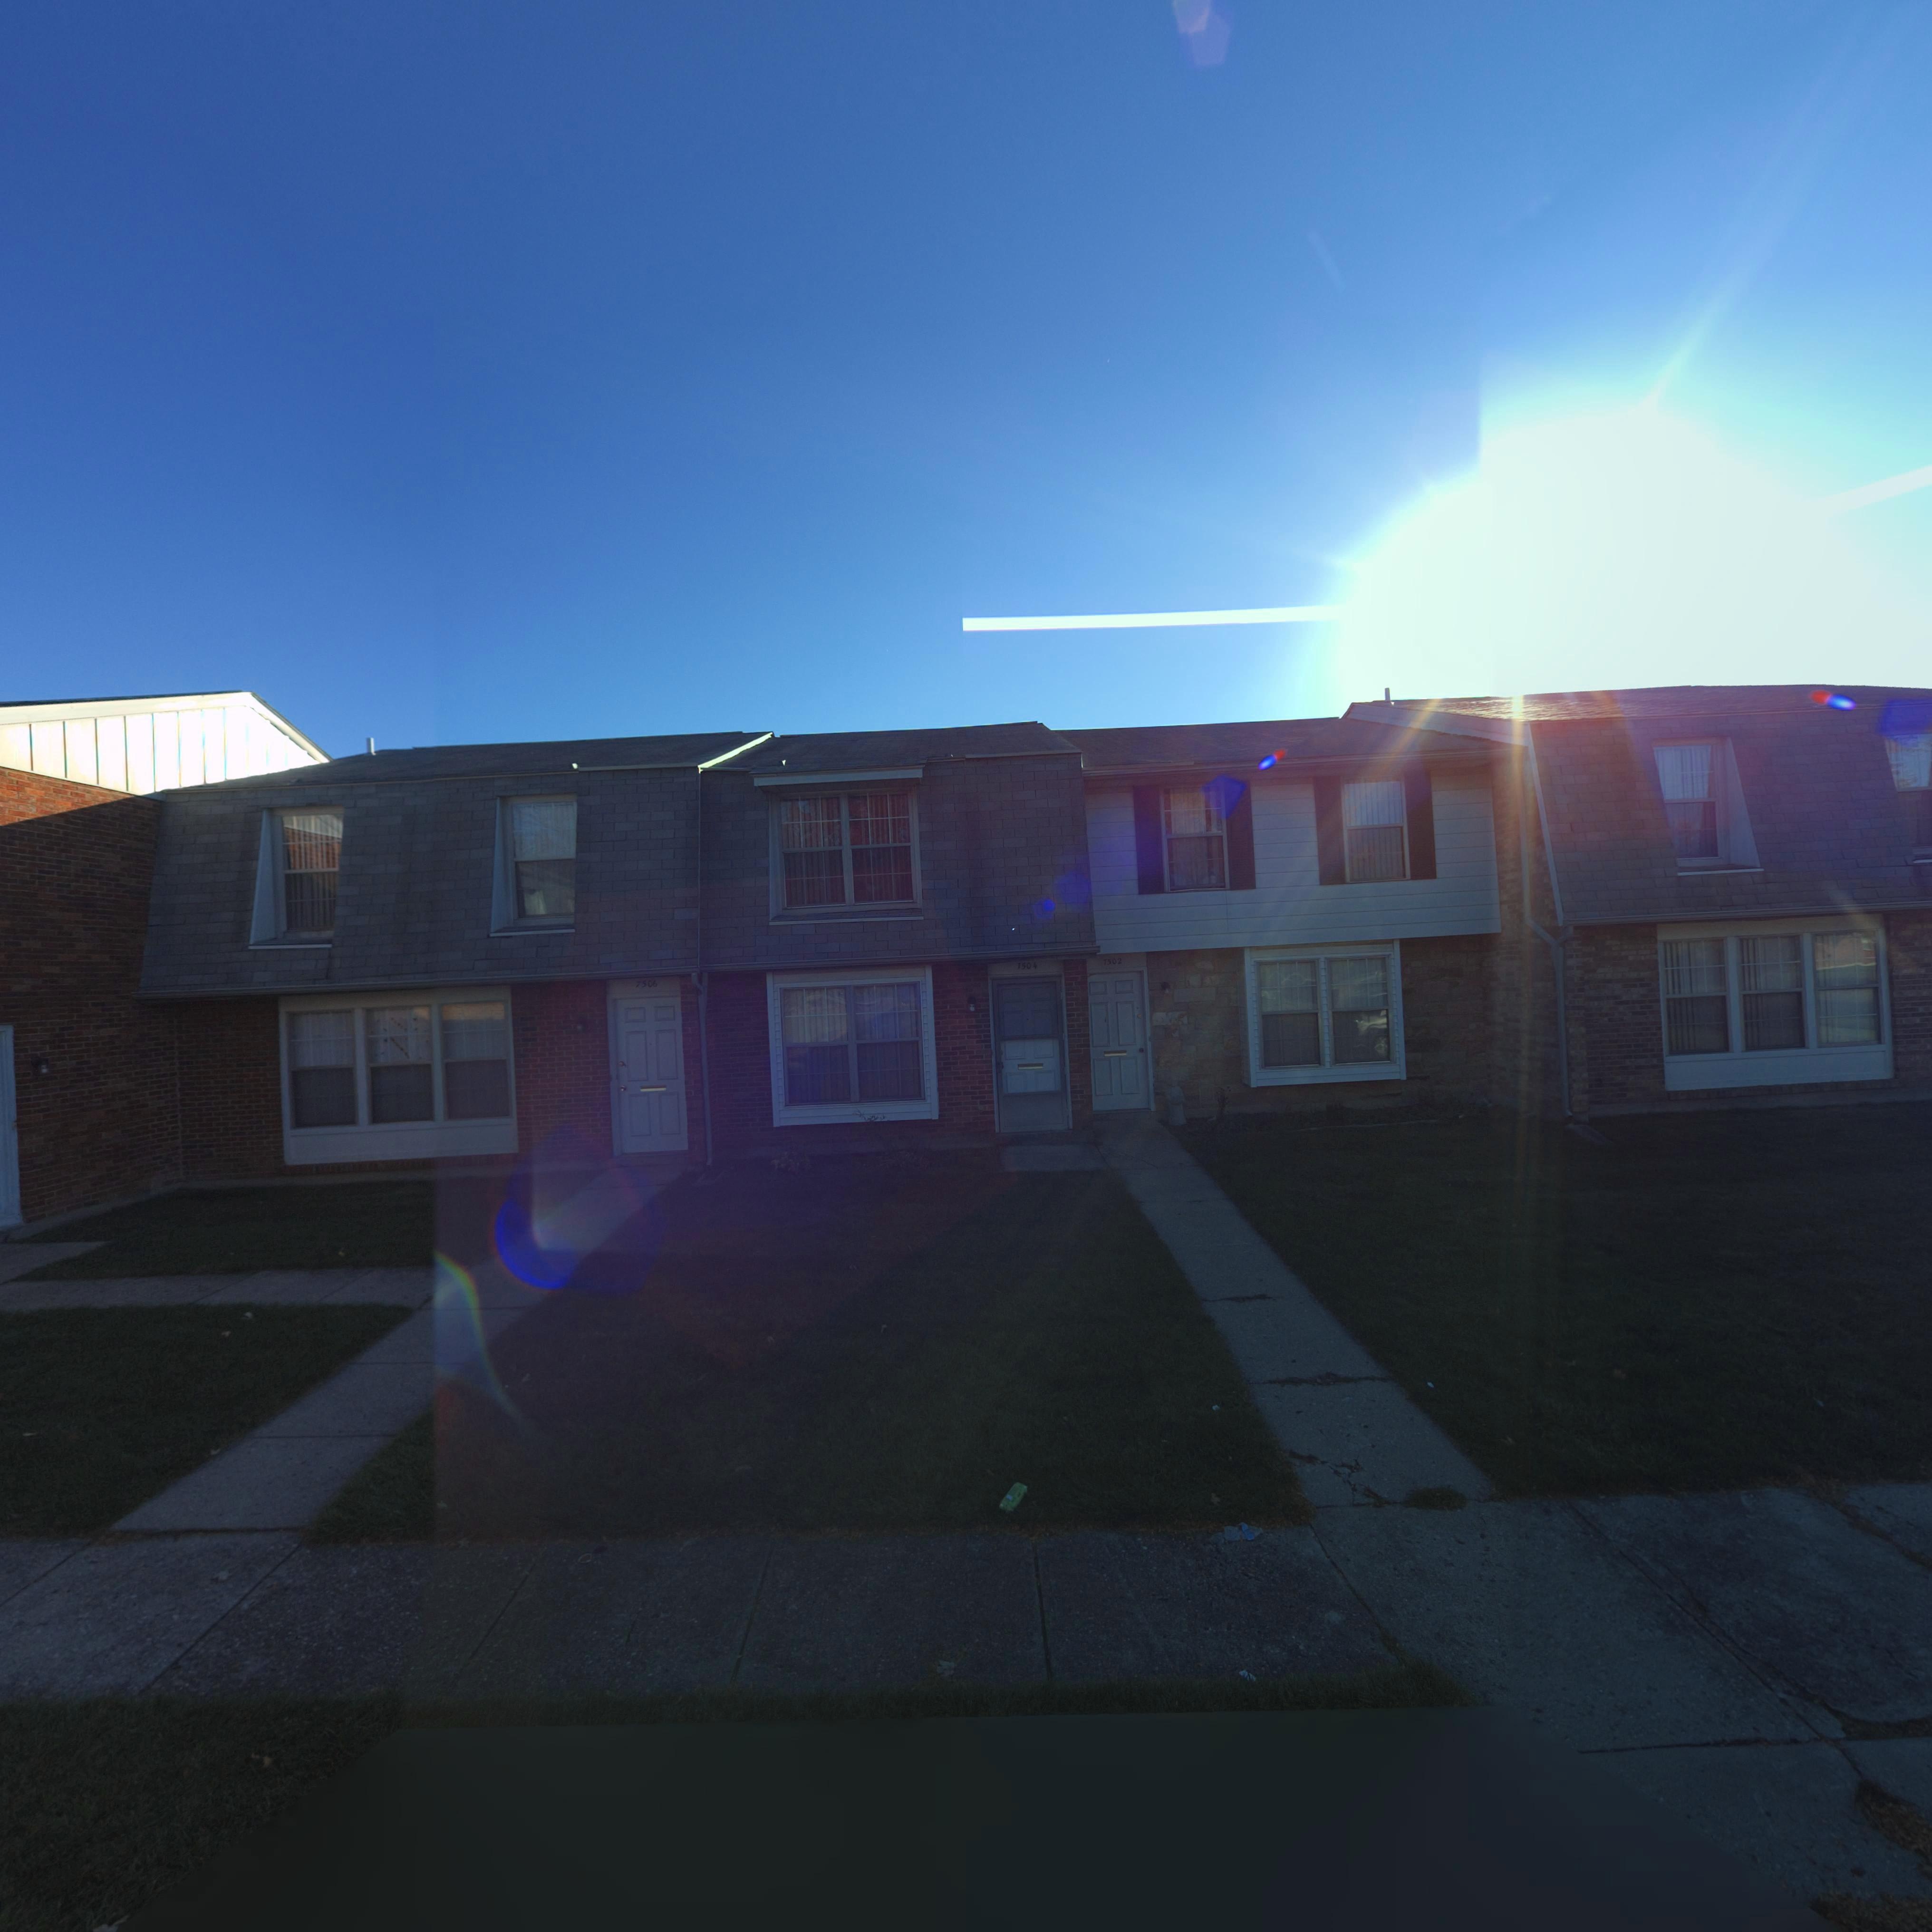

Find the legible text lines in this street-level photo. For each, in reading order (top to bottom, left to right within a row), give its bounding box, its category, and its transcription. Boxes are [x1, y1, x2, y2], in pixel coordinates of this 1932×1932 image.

[1016, 961, 1038, 971] StreetNumber: 7504
[1101, 956, 1123, 967] StreetNumber: 7502
[635, 979, 659, 989] StreetNumber: 7506